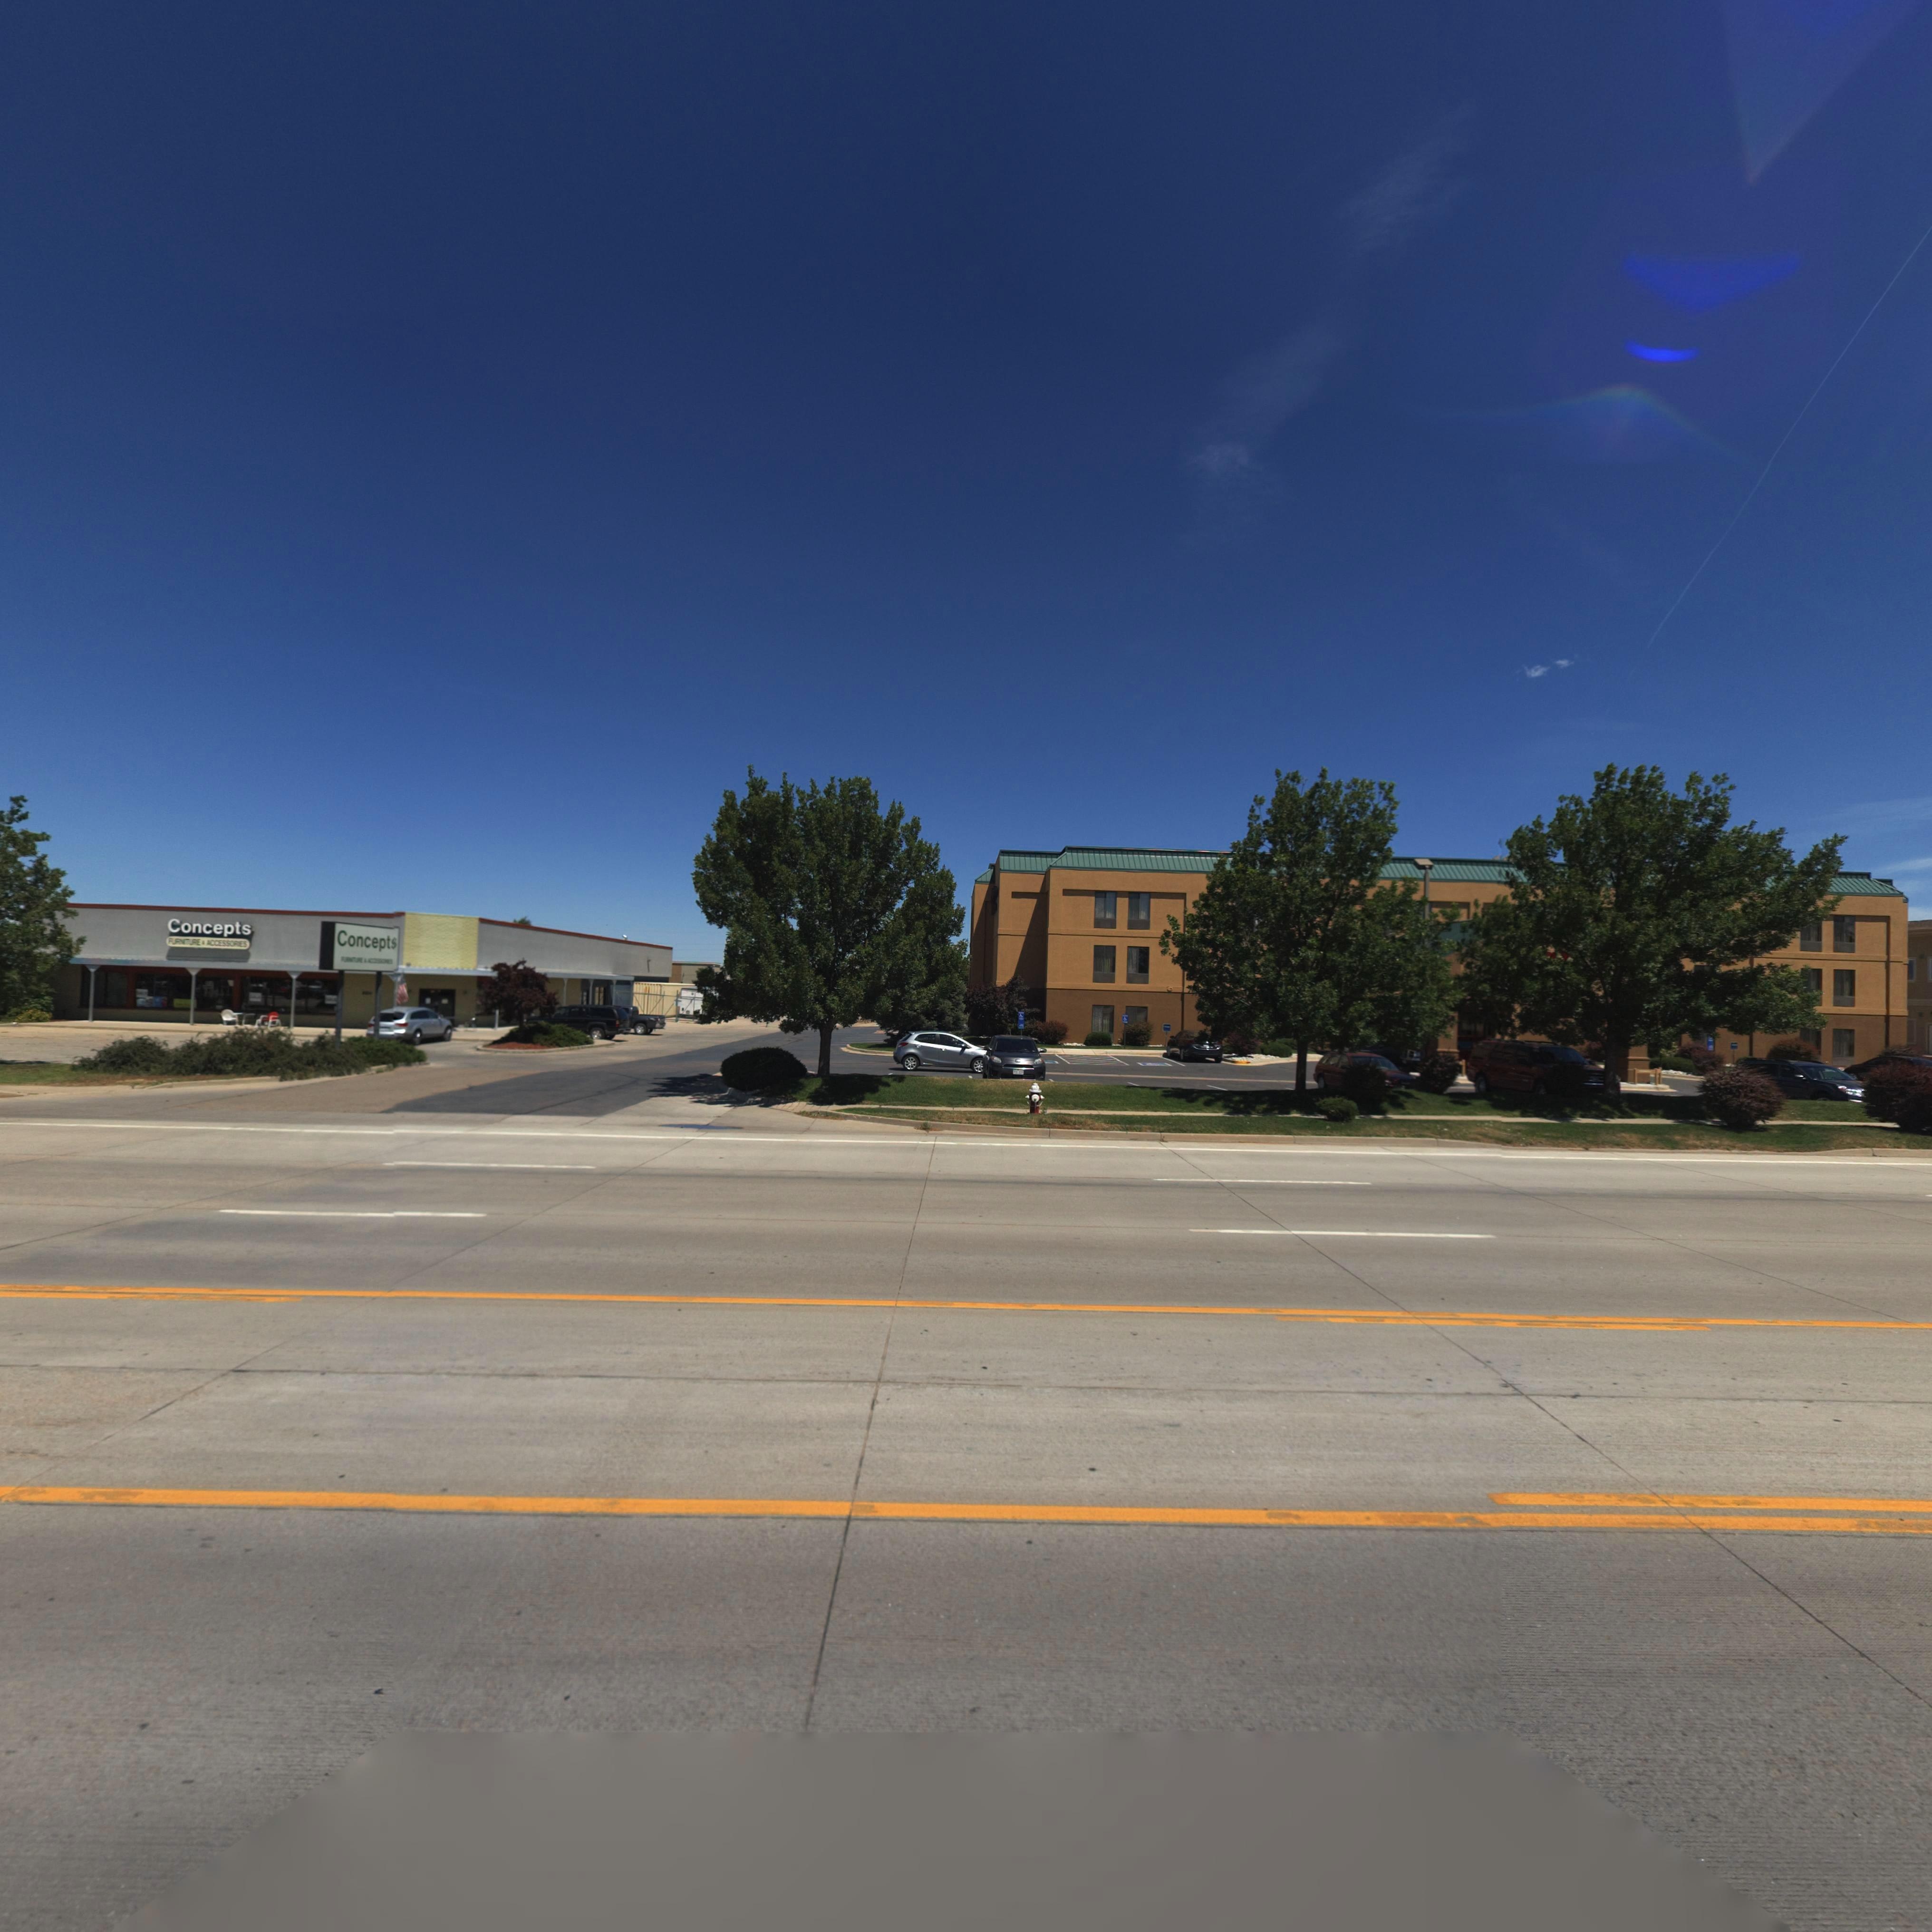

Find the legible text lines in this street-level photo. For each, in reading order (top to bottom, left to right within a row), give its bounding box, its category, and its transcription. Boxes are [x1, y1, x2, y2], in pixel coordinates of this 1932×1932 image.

[167, 918, 252, 938] BusinessName: Concepts
[168, 937, 248, 947] BusinessName: FURNITURE & ACCESSORIES
[337, 929, 397, 952] BusinessName: Concepts
[339, 956, 393, 965] BusinessName: F*****URE * ACCE*****ES